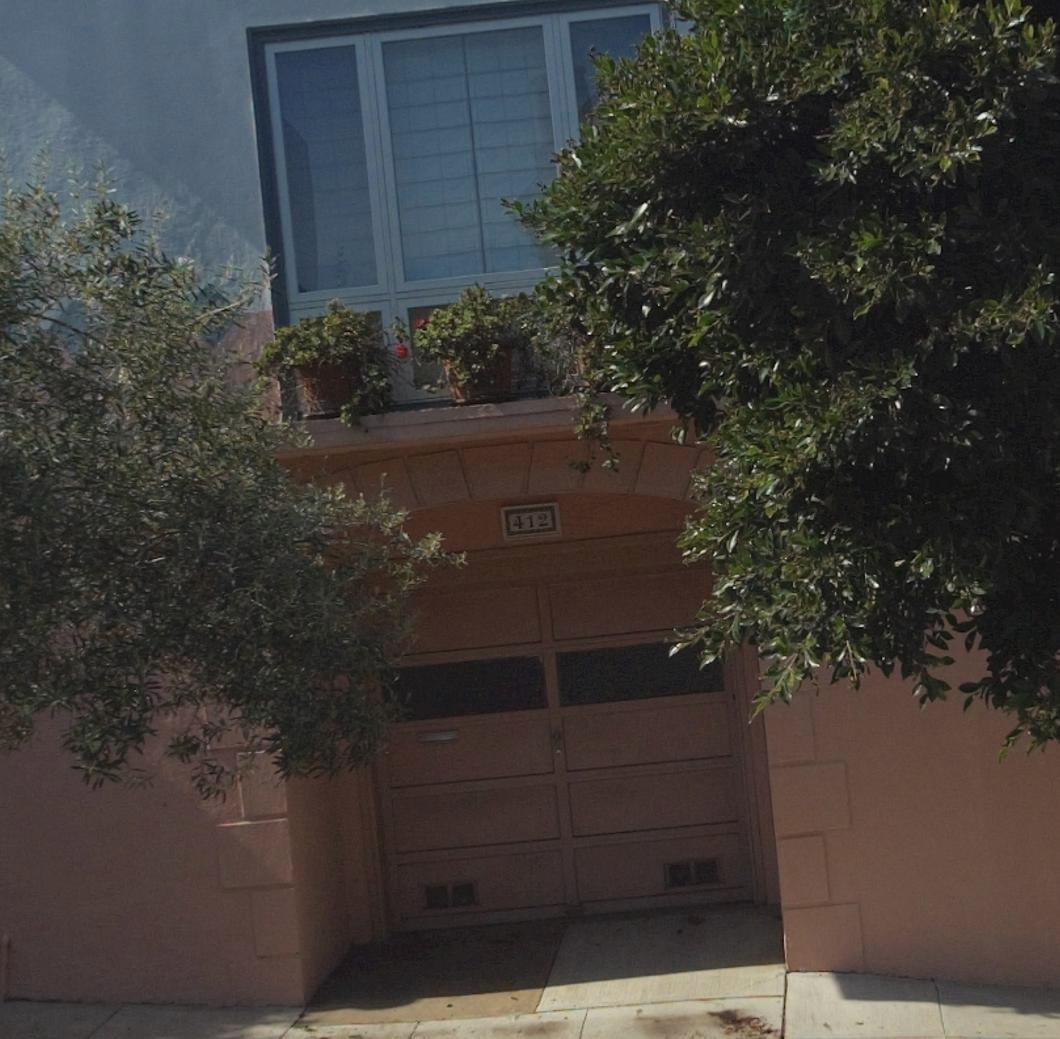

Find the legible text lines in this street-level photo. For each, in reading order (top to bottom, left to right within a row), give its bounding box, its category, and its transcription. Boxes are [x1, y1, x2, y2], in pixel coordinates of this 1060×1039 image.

[512, 511, 552, 532] StreetNumber: 412